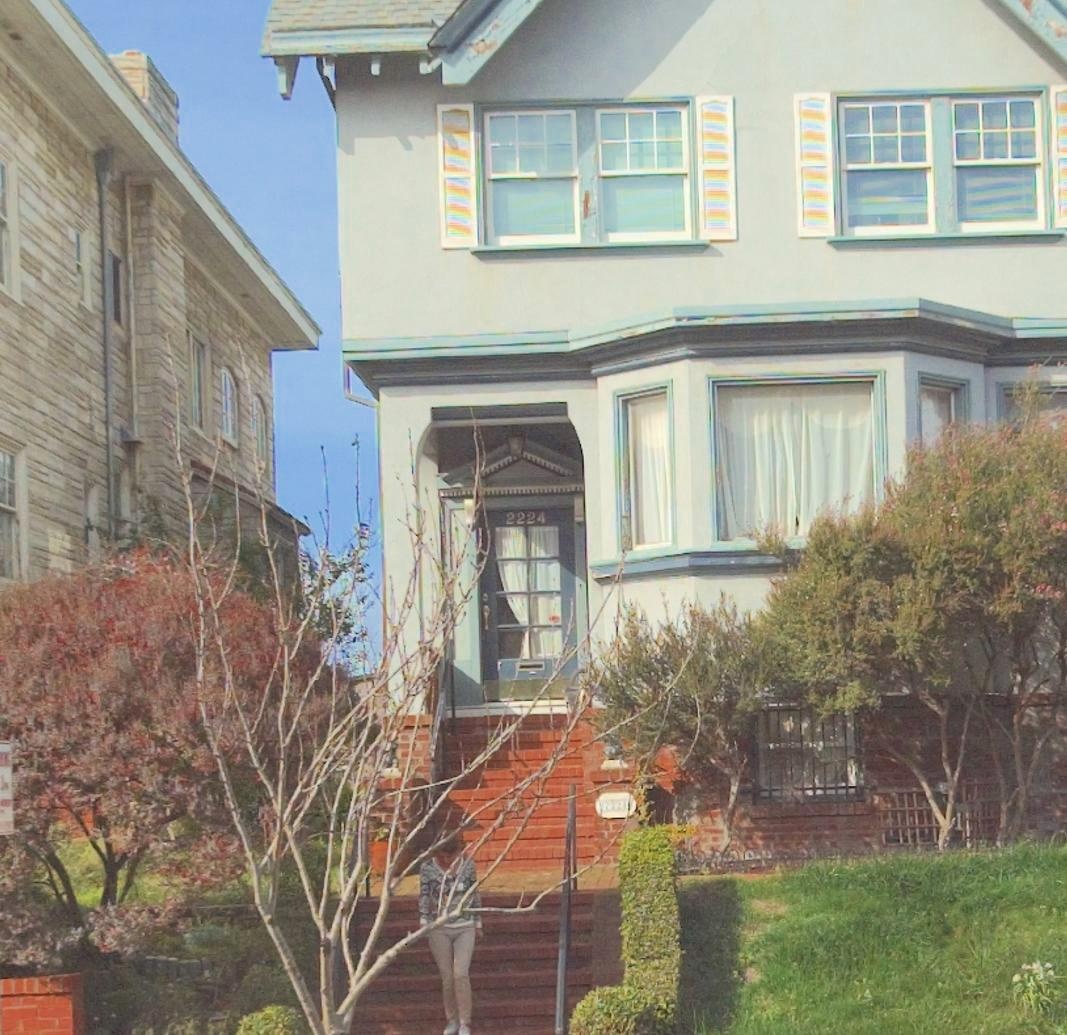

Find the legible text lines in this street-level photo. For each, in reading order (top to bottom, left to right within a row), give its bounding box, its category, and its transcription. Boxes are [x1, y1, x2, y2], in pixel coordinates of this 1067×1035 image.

[504, 510, 547, 526] StreetNumber: 2224